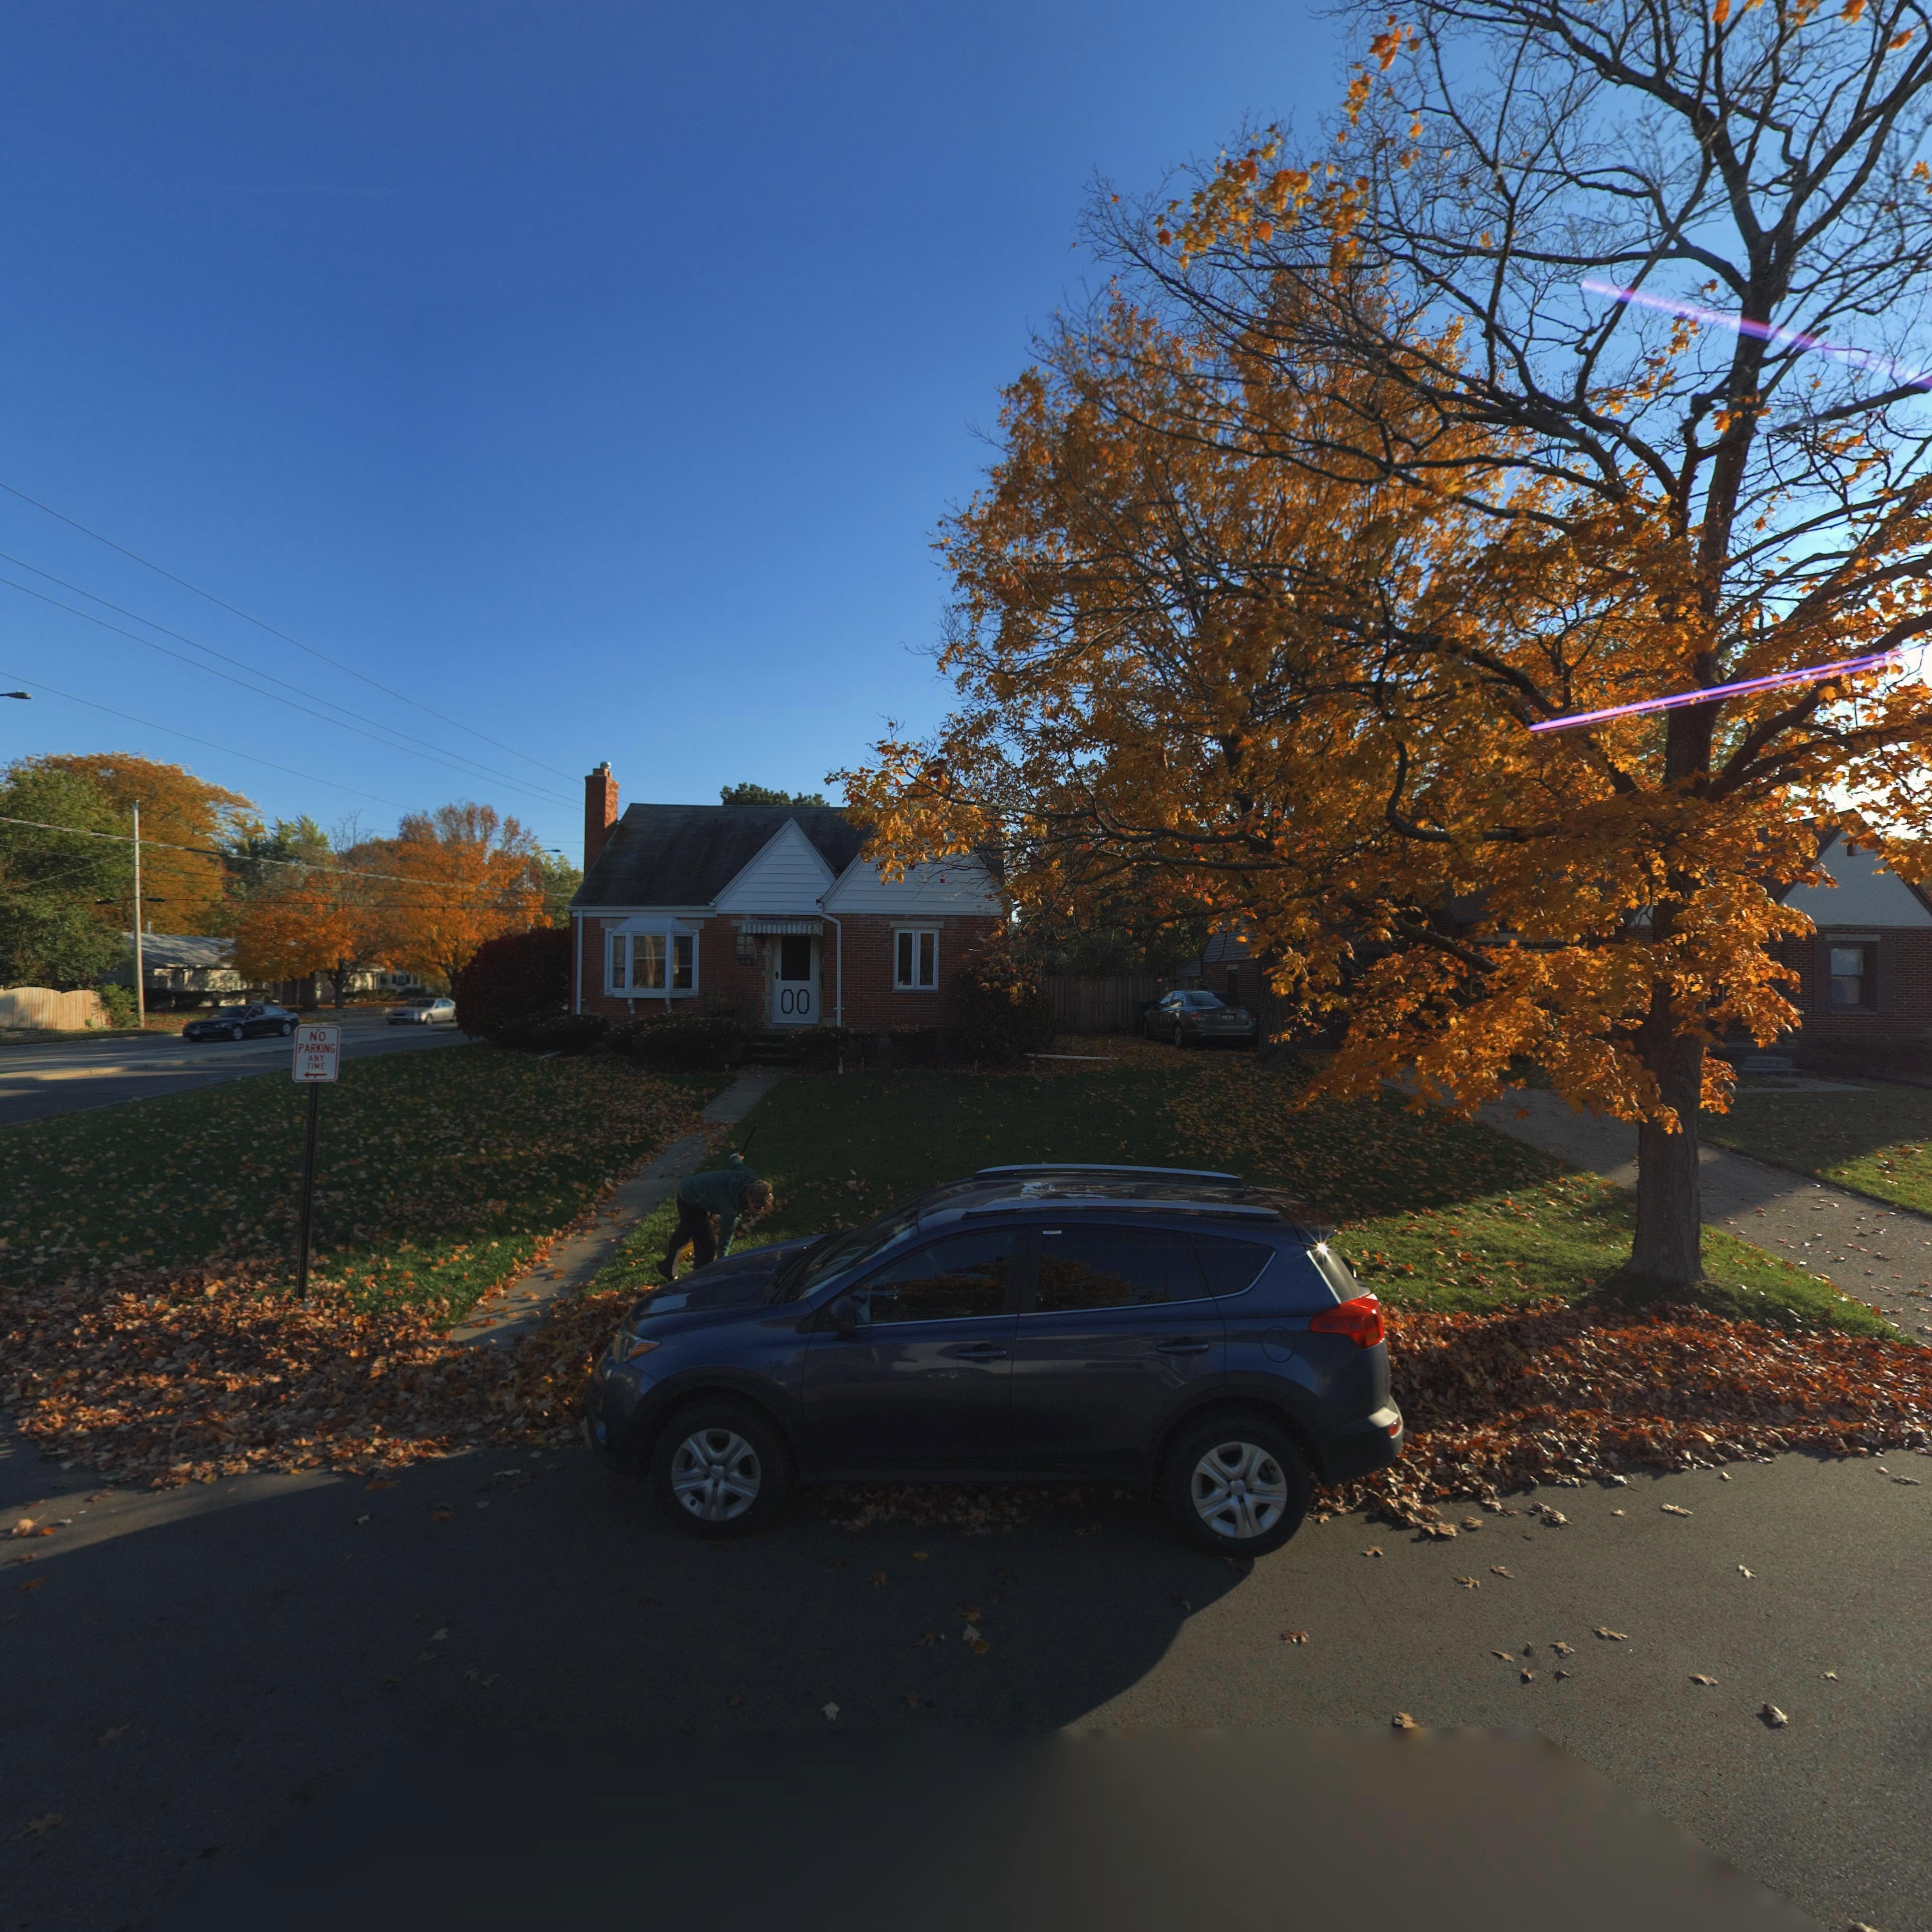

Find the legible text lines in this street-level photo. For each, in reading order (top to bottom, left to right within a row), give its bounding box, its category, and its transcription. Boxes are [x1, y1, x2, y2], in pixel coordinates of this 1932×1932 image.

[739, 958, 752, 966] StreetNumber: *1*